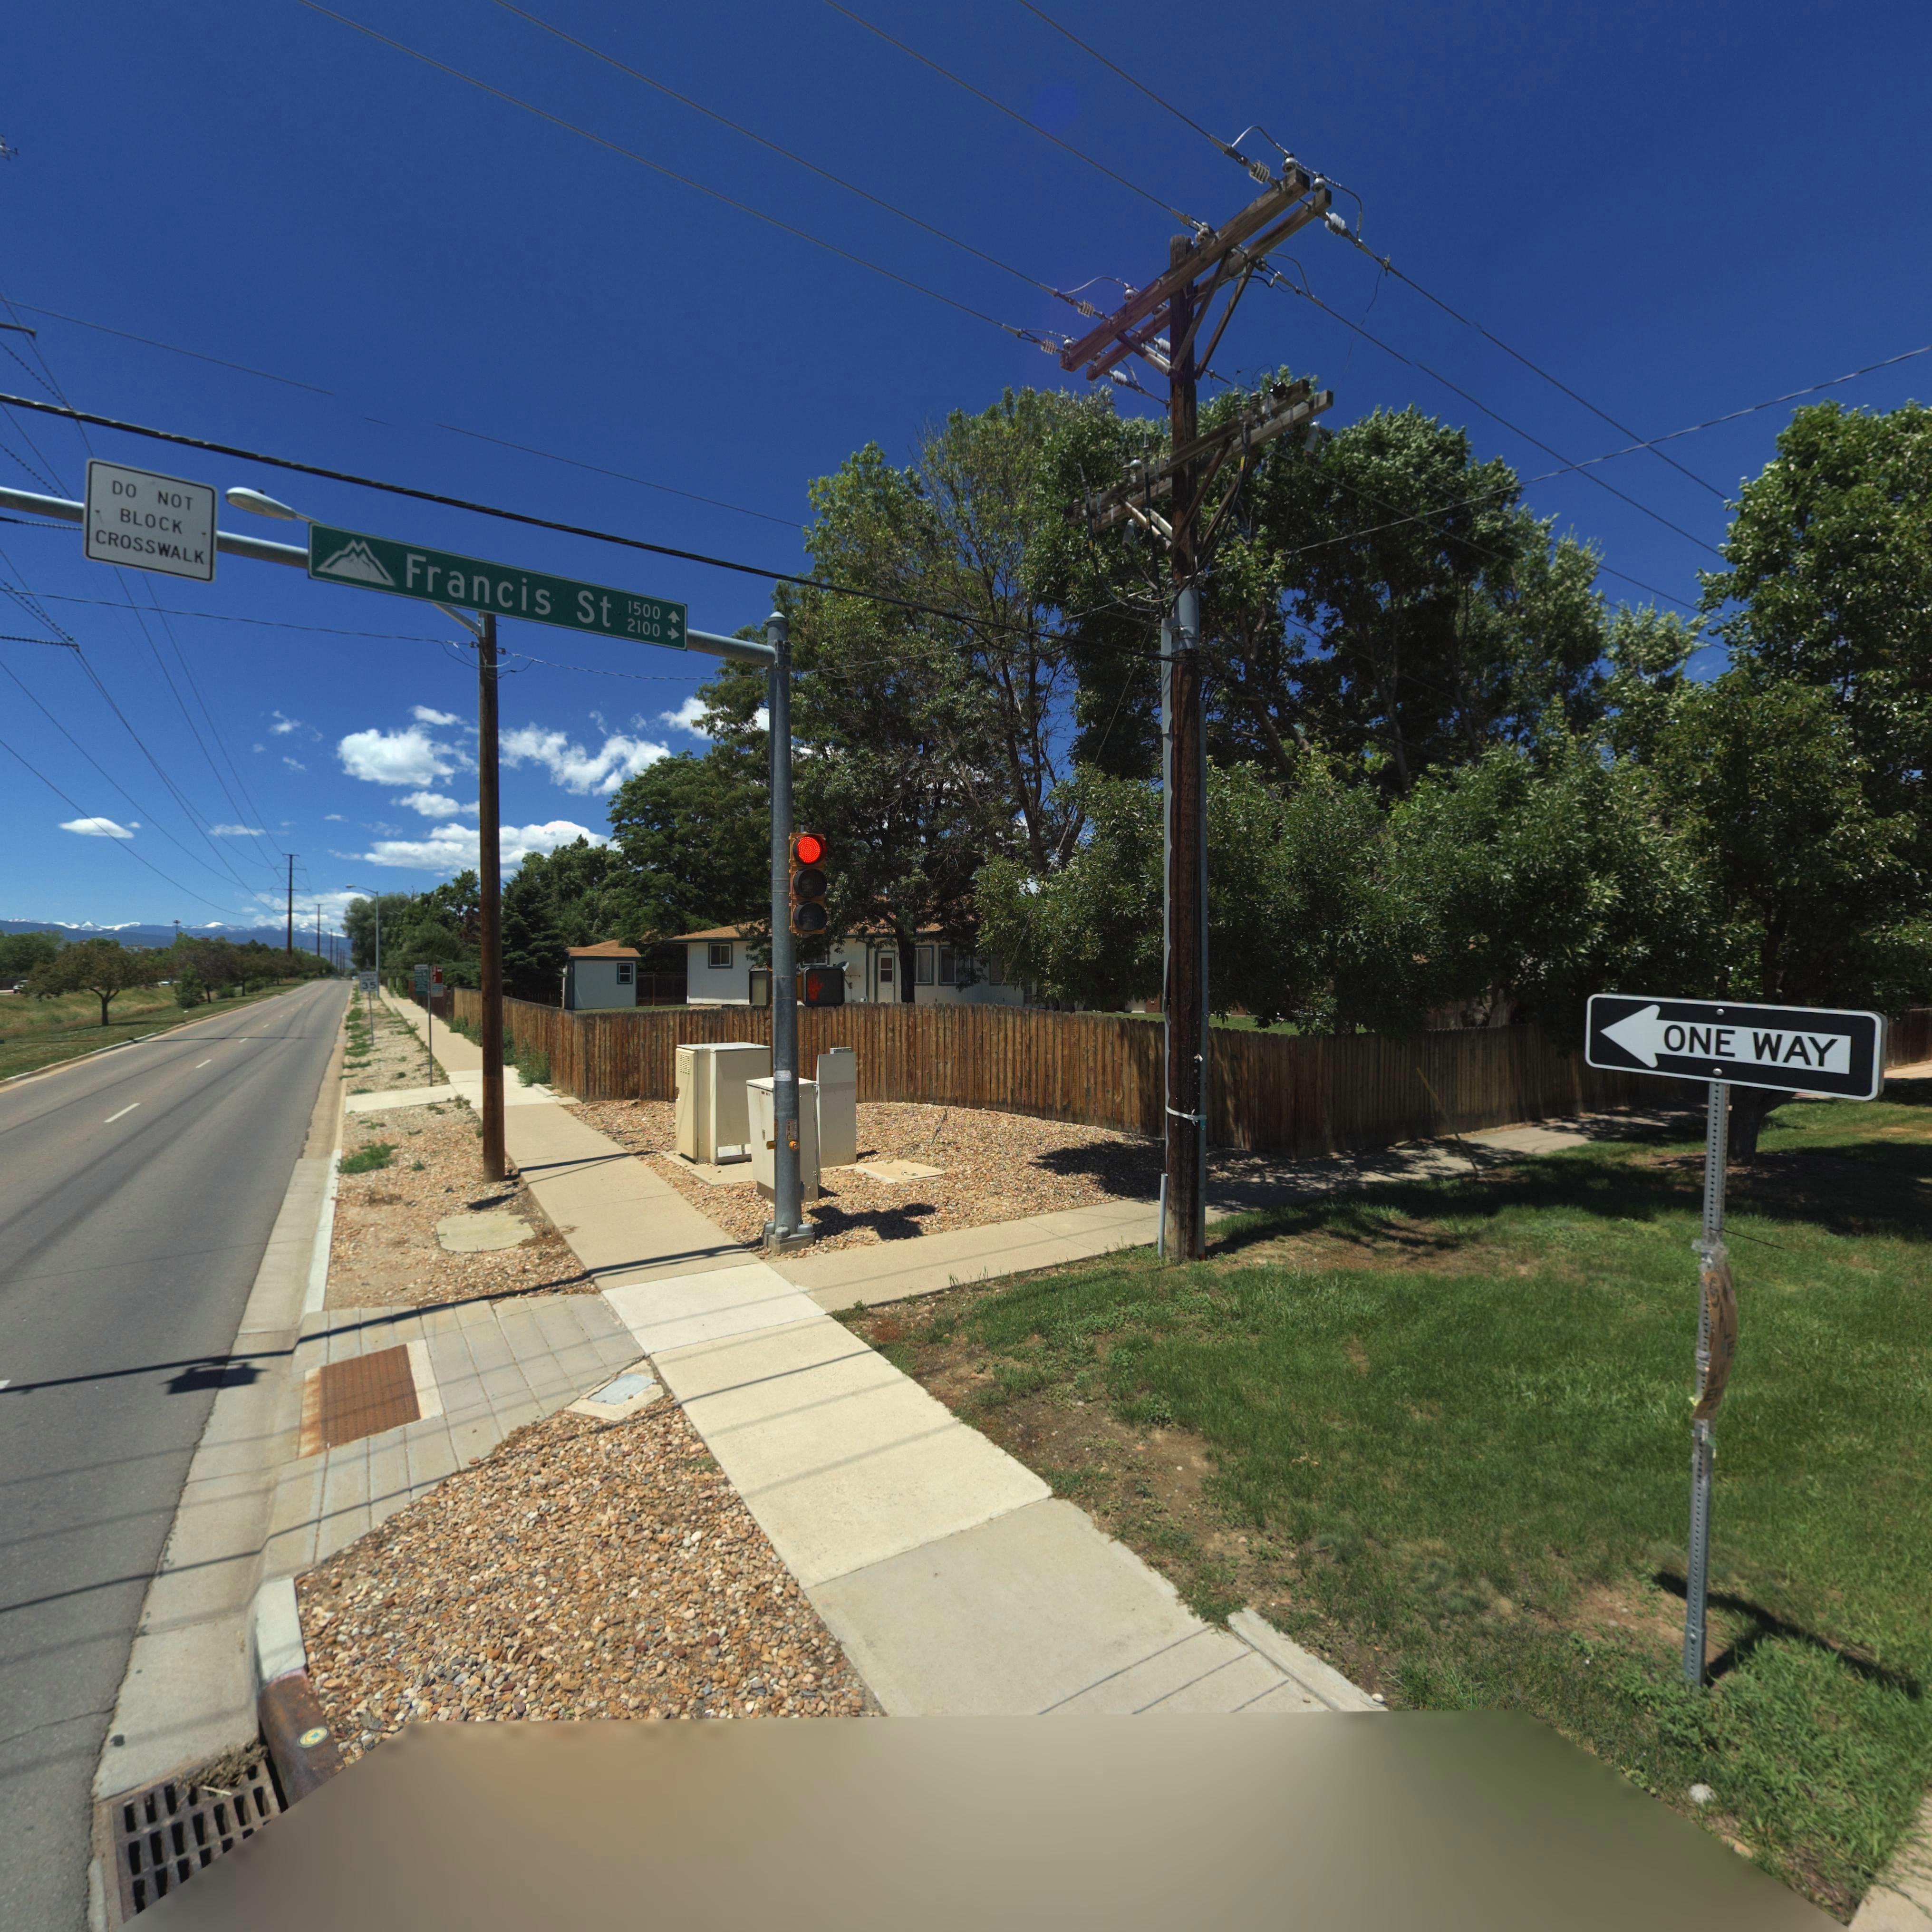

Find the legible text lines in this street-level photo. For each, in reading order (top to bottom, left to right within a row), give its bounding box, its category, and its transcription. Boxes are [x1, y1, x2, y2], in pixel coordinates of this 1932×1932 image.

[406, 551, 612, 628] StreetName: Francis St
[627, 600, 660, 620] StreetNumberRange: 1500
[627, 618, 681, 640] StreetNumberRange: 2100->